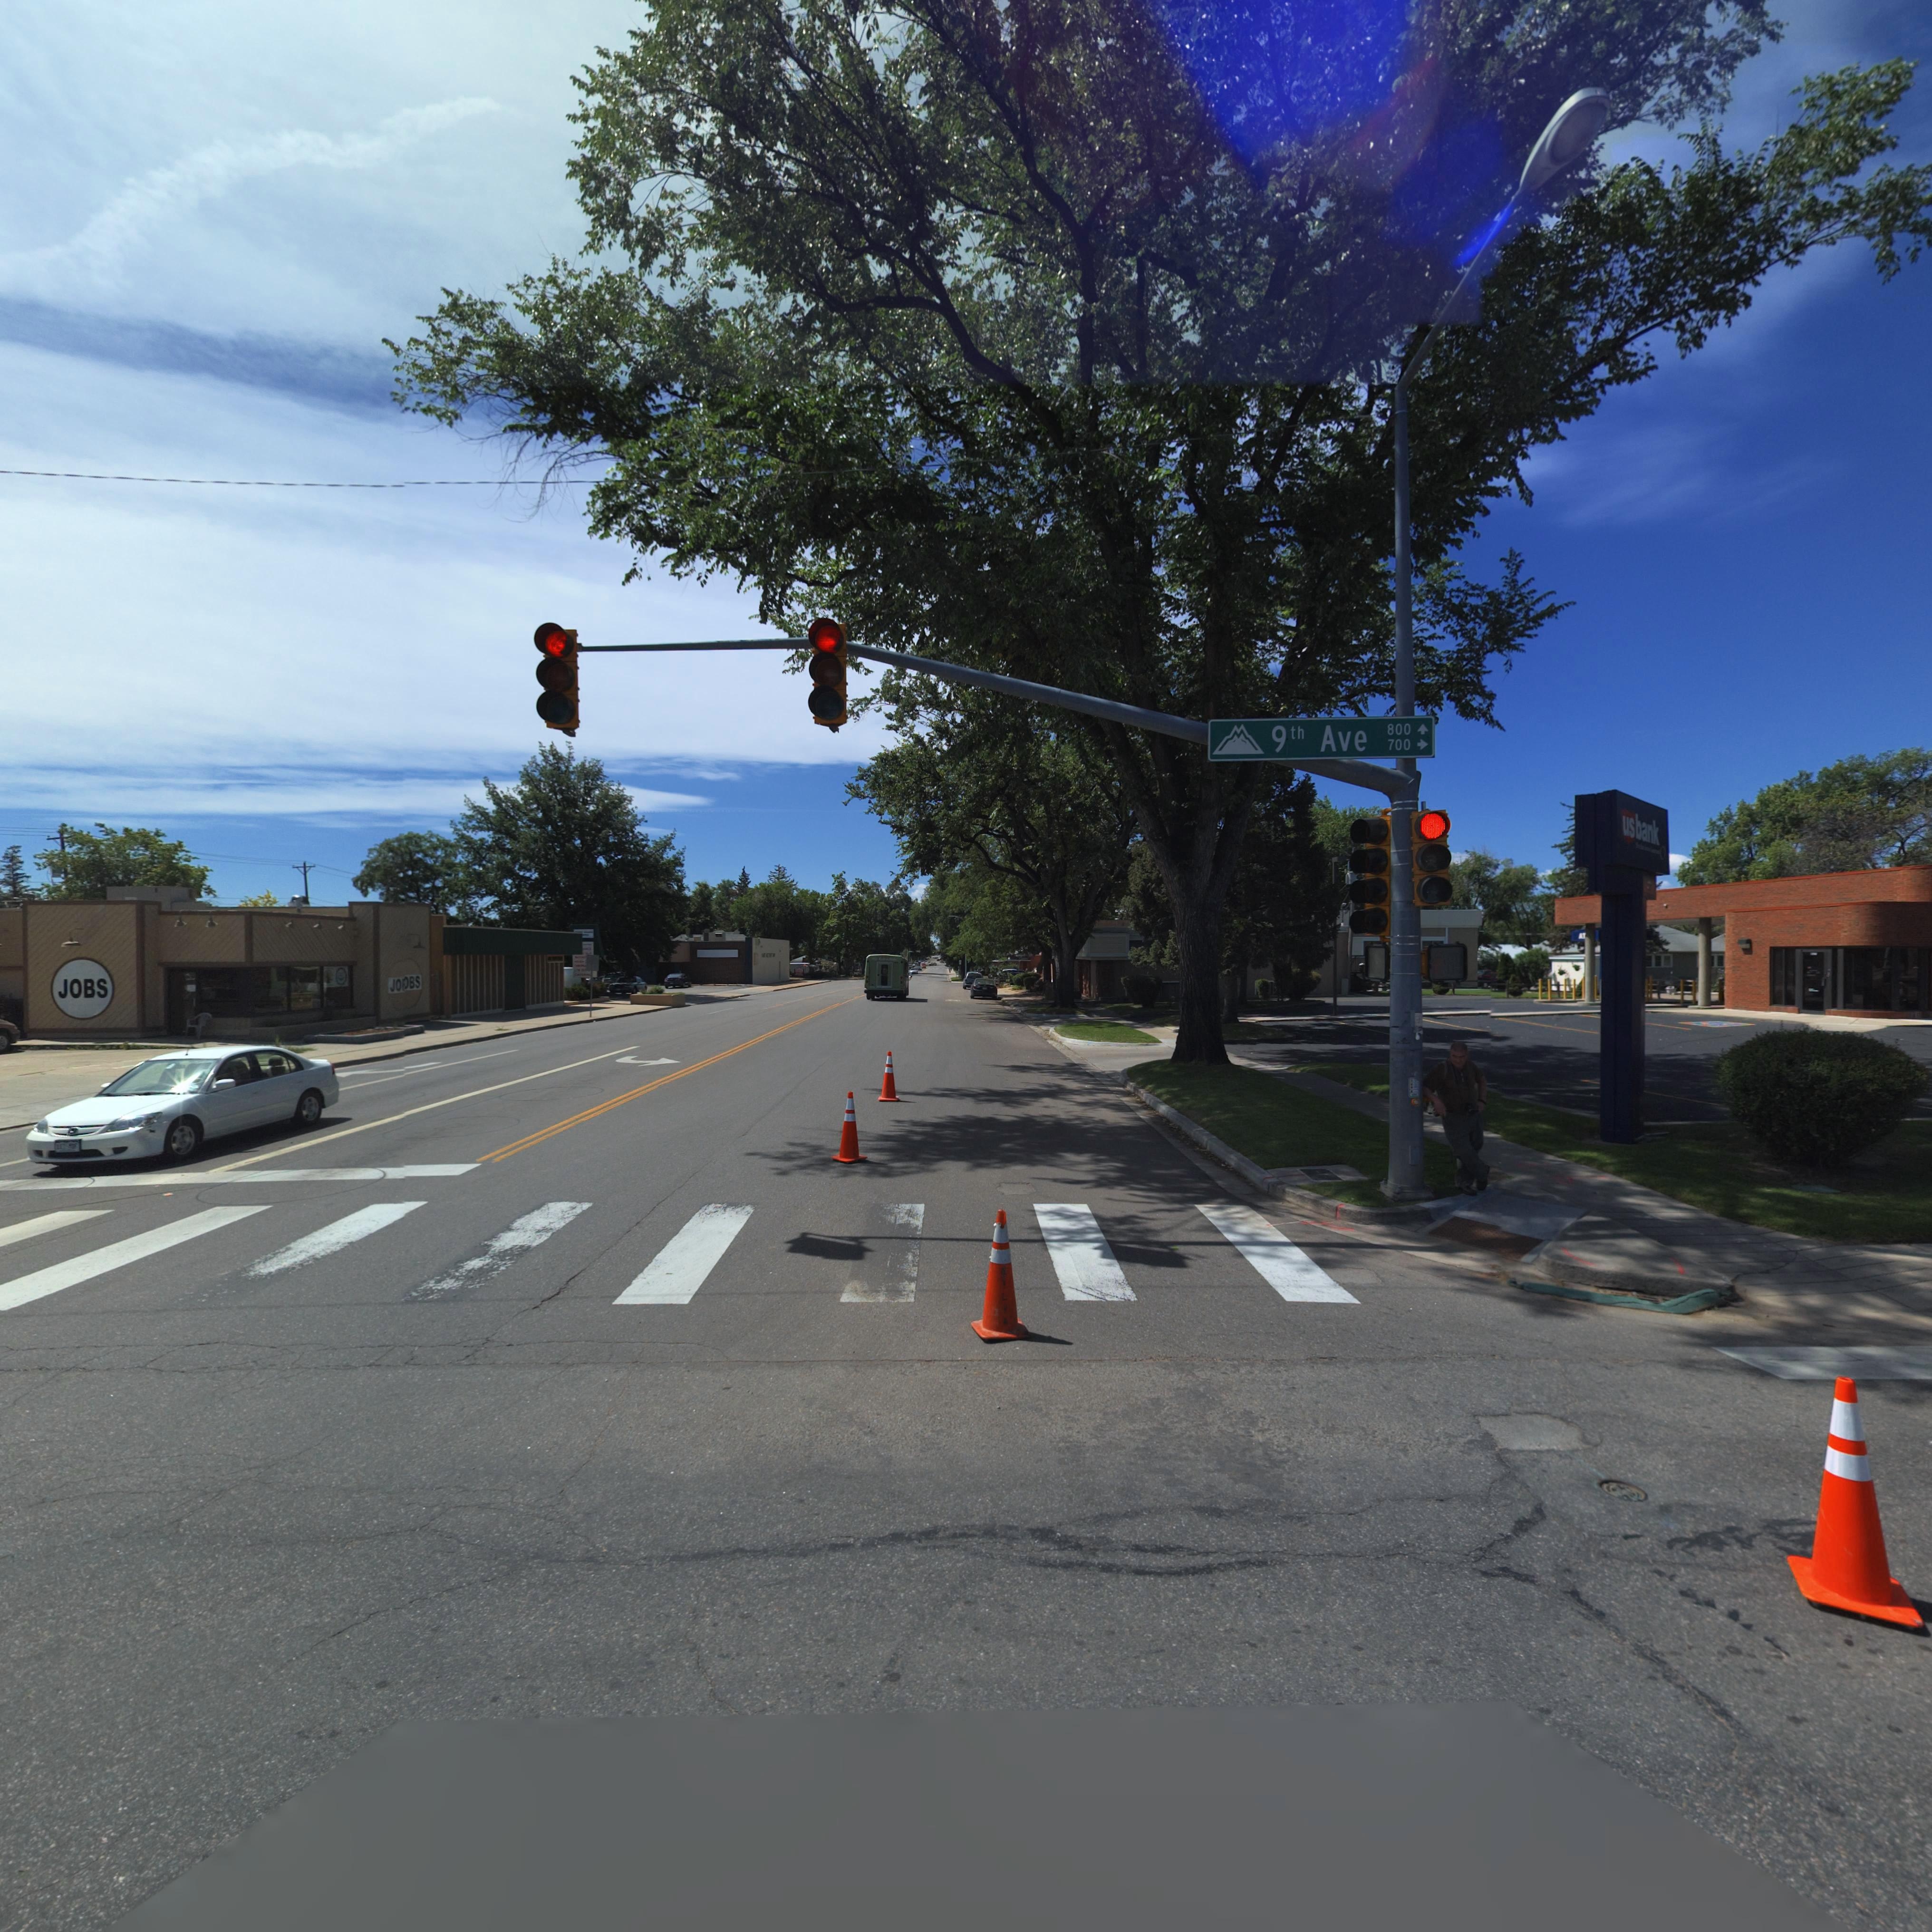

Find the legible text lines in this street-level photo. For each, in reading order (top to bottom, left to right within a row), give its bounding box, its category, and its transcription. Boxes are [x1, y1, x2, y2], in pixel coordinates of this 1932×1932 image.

[1270, 724, 1369, 754] StreetName: 9th Ave
[1387, 722, 1411, 736] StreetNumberRange: 800
[1387, 738, 1429, 751] StreetNumberRange: 700->
[1622, 811, 1660, 846] BusinessName: us bank